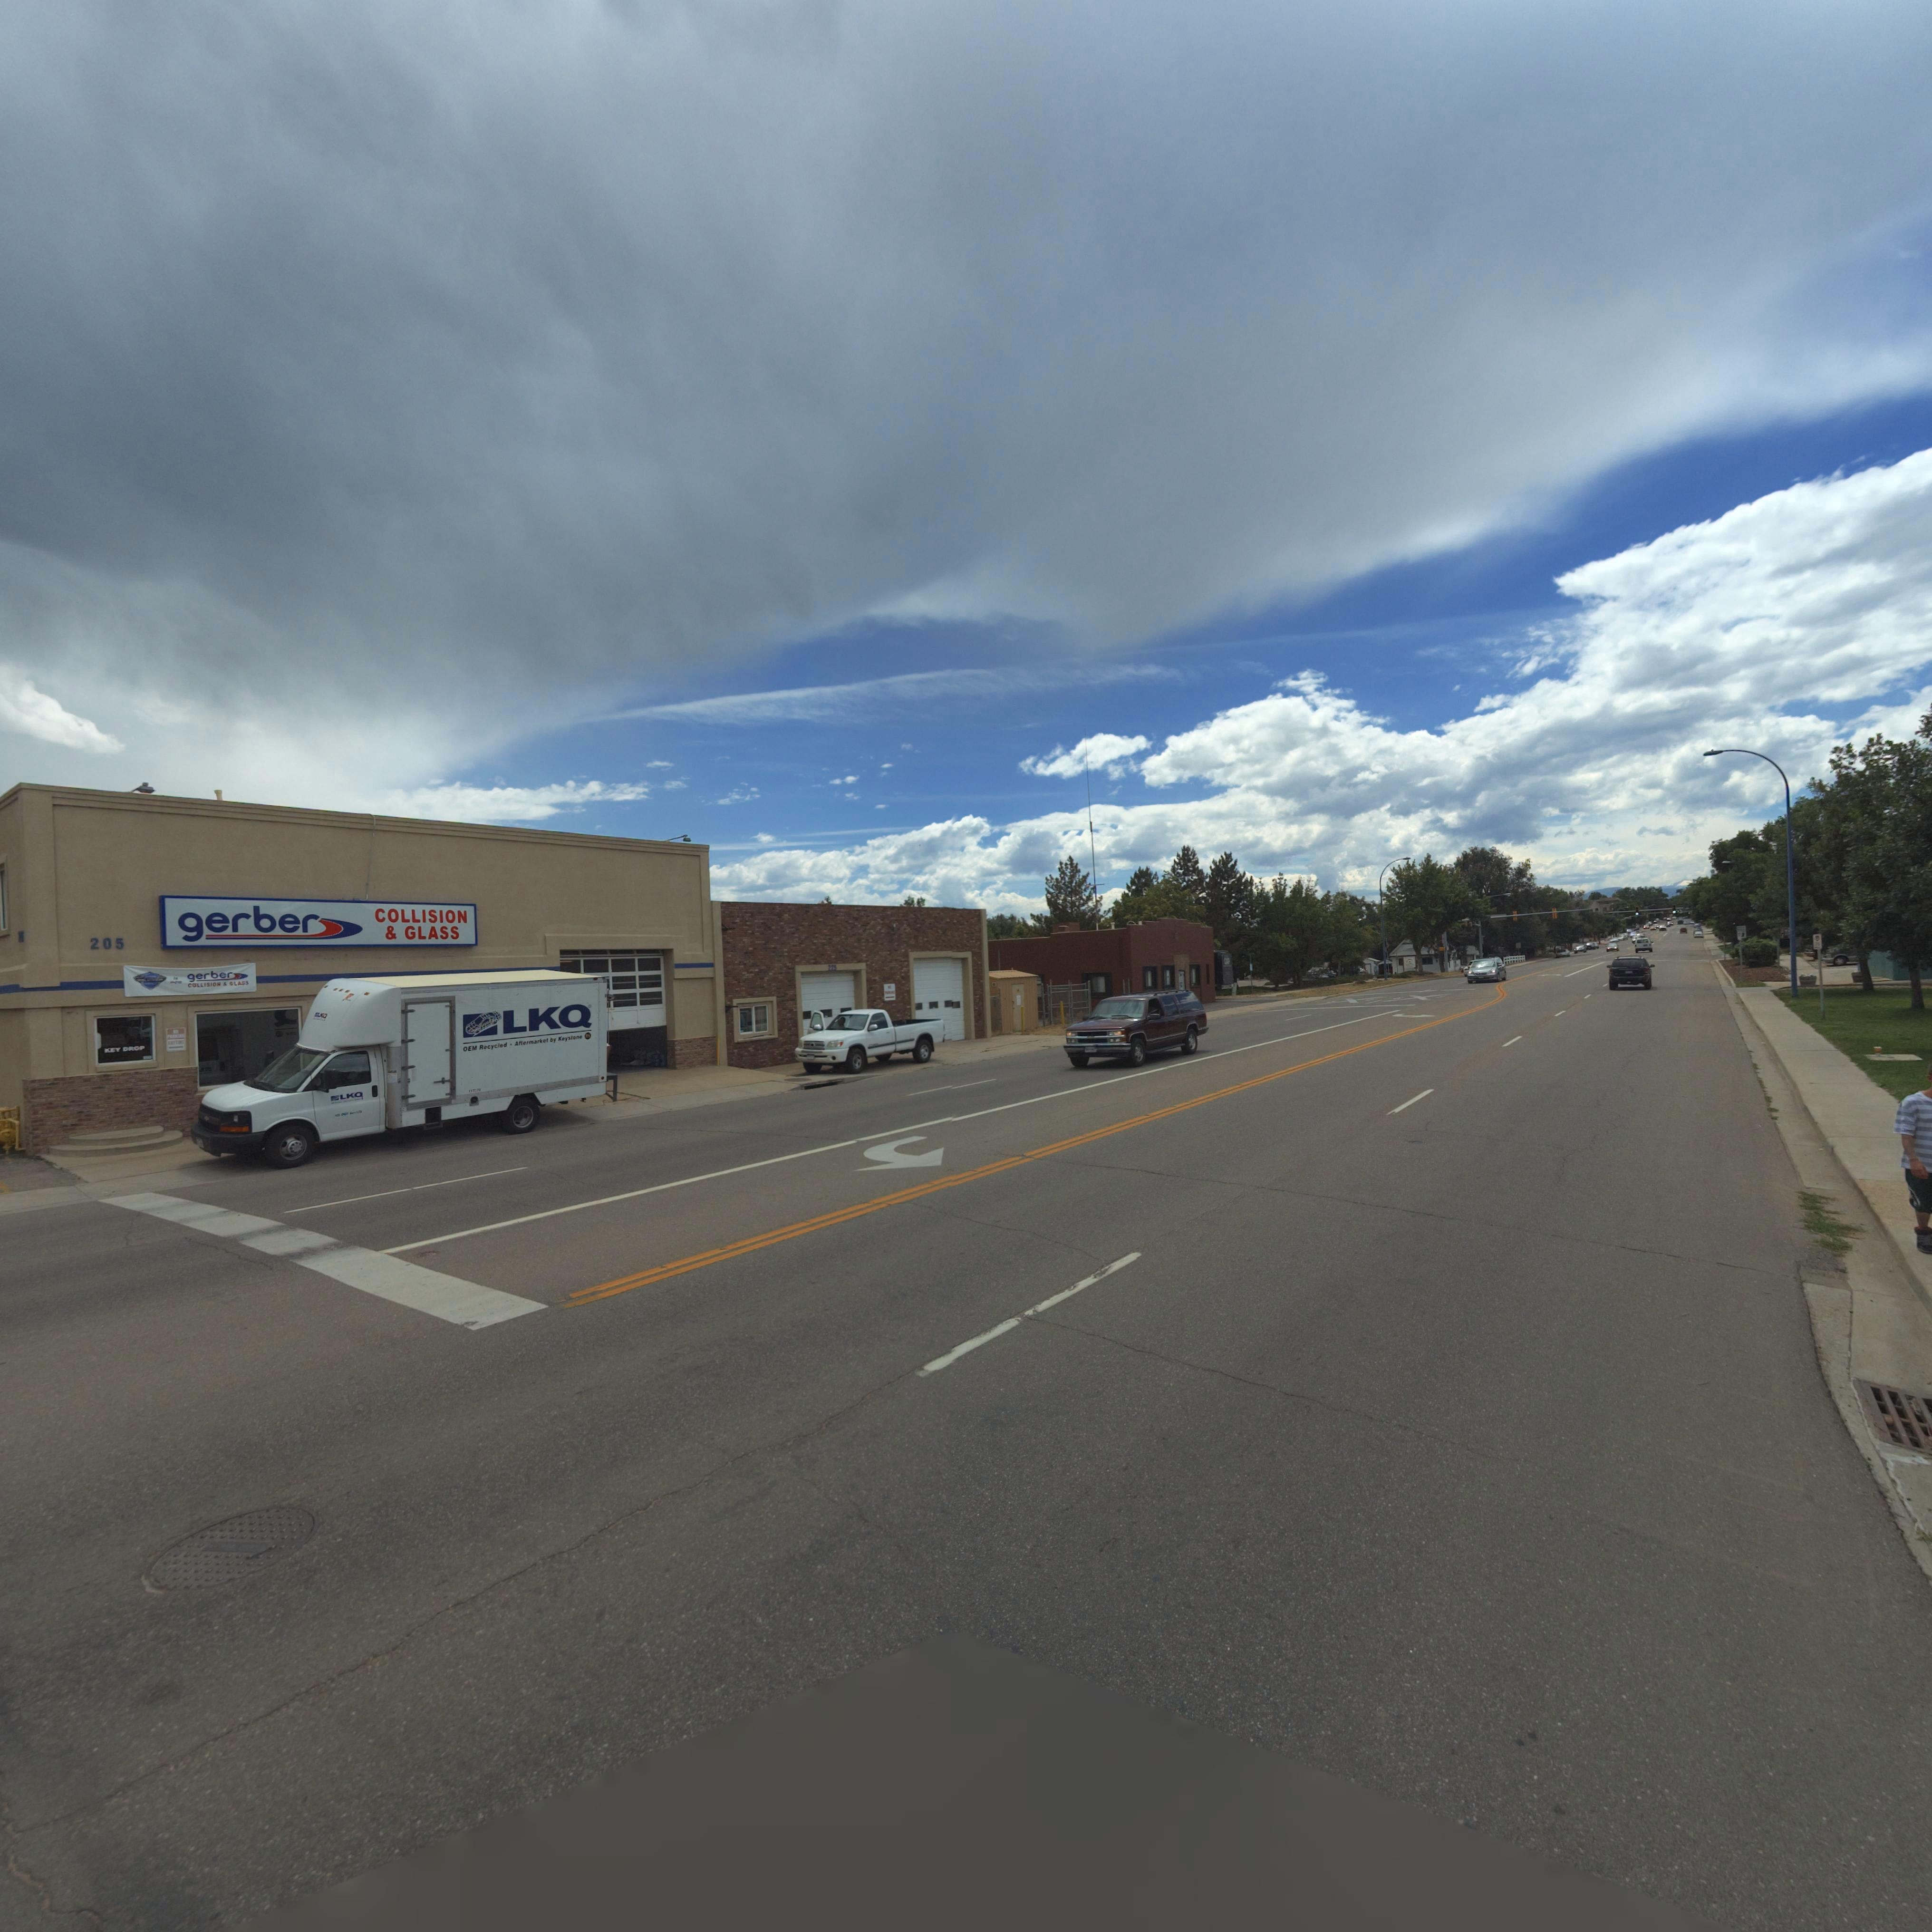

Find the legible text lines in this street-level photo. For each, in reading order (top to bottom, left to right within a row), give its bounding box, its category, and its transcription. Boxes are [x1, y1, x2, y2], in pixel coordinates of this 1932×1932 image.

[374, 908, 467, 924] BusinessName: COLLISION
[176, 905, 320, 942] BusinessName: gerber
[385, 925, 459, 940] BusinessName: * GLASS
[89, 937, 125, 950] StreetNumber: 205
[827, 964, 837, 971] StreetNumber: 225
[186, 970, 233, 982] BusinessName: gerber
[187, 980, 249, 988] BusinessName: COLLISISON * GLASS